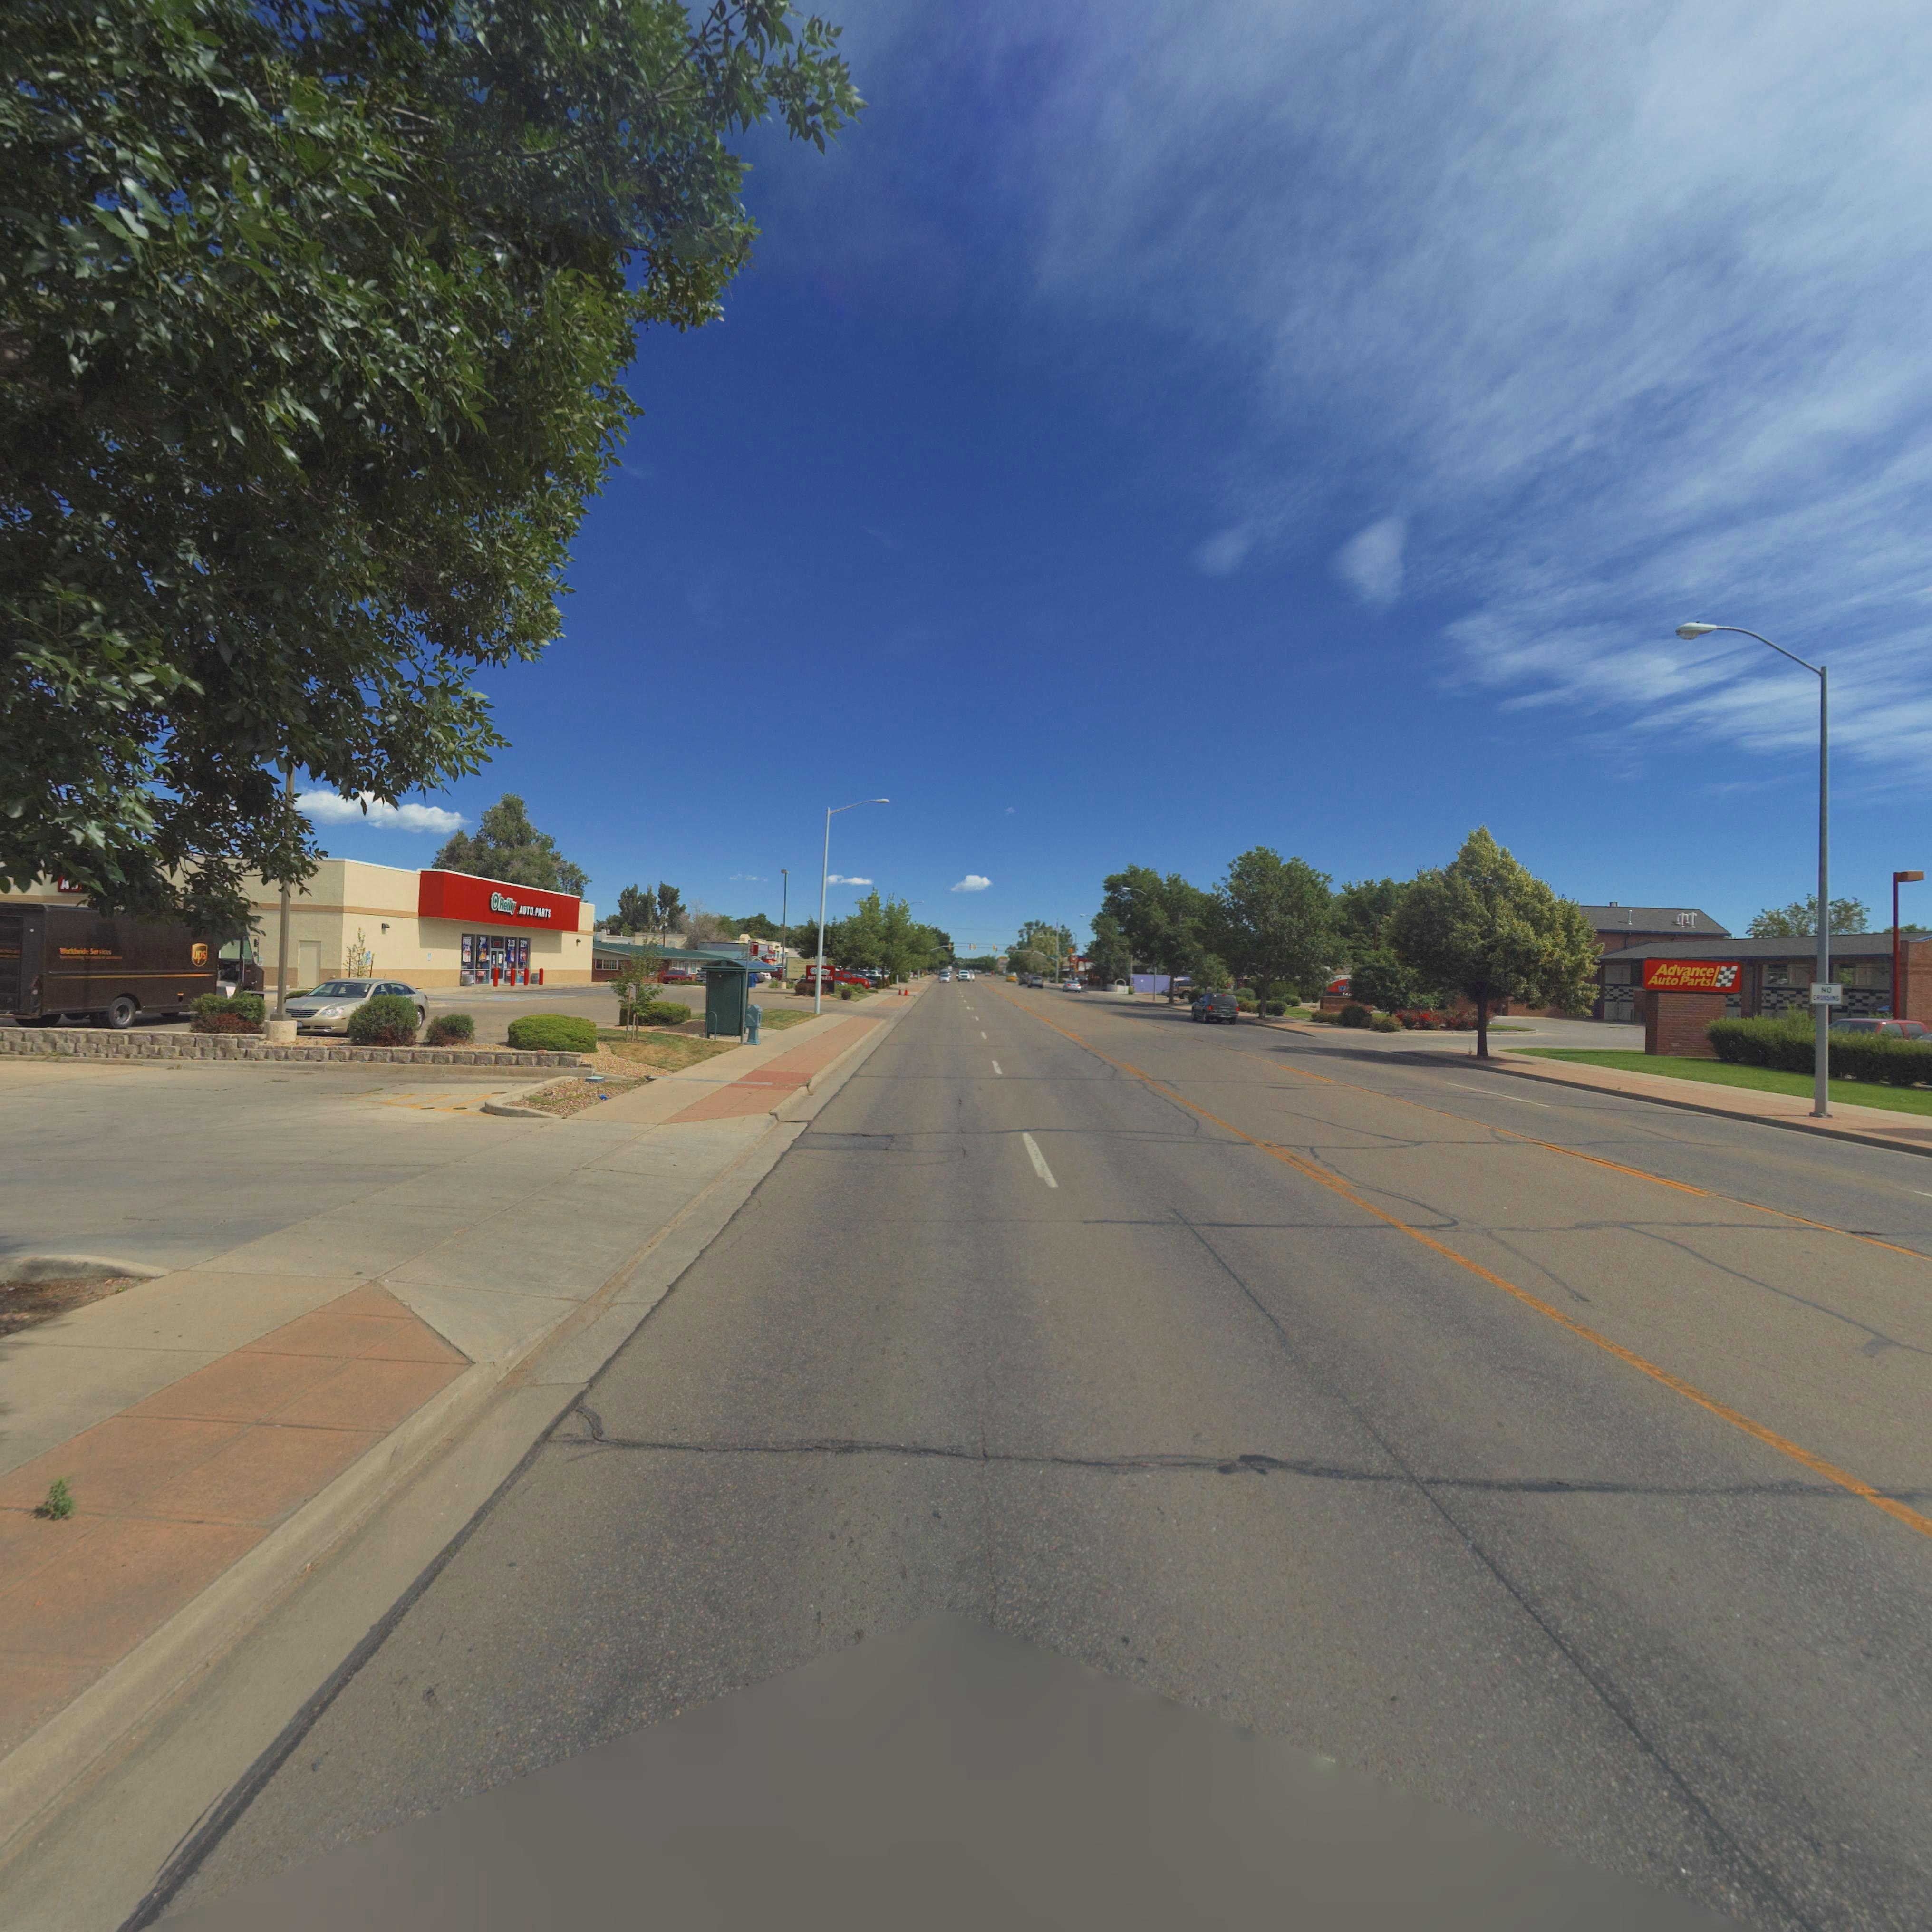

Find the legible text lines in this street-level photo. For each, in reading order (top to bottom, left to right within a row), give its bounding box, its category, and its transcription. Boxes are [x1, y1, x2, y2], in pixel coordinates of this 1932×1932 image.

[492, 893, 551, 918] BusinessName: O'Reilly AUTO PARTS
[810, 967, 831, 976] BusinessName: O***illy
[1654, 963, 1715, 977] BusinessName: Advance
[807, 975, 833, 980] BusinessName: AUT* *ARTS
[1646, 975, 1712, 986] BusinessName: Auto Parts
[1342, 992, 1349, 996] StreetNumber: 14